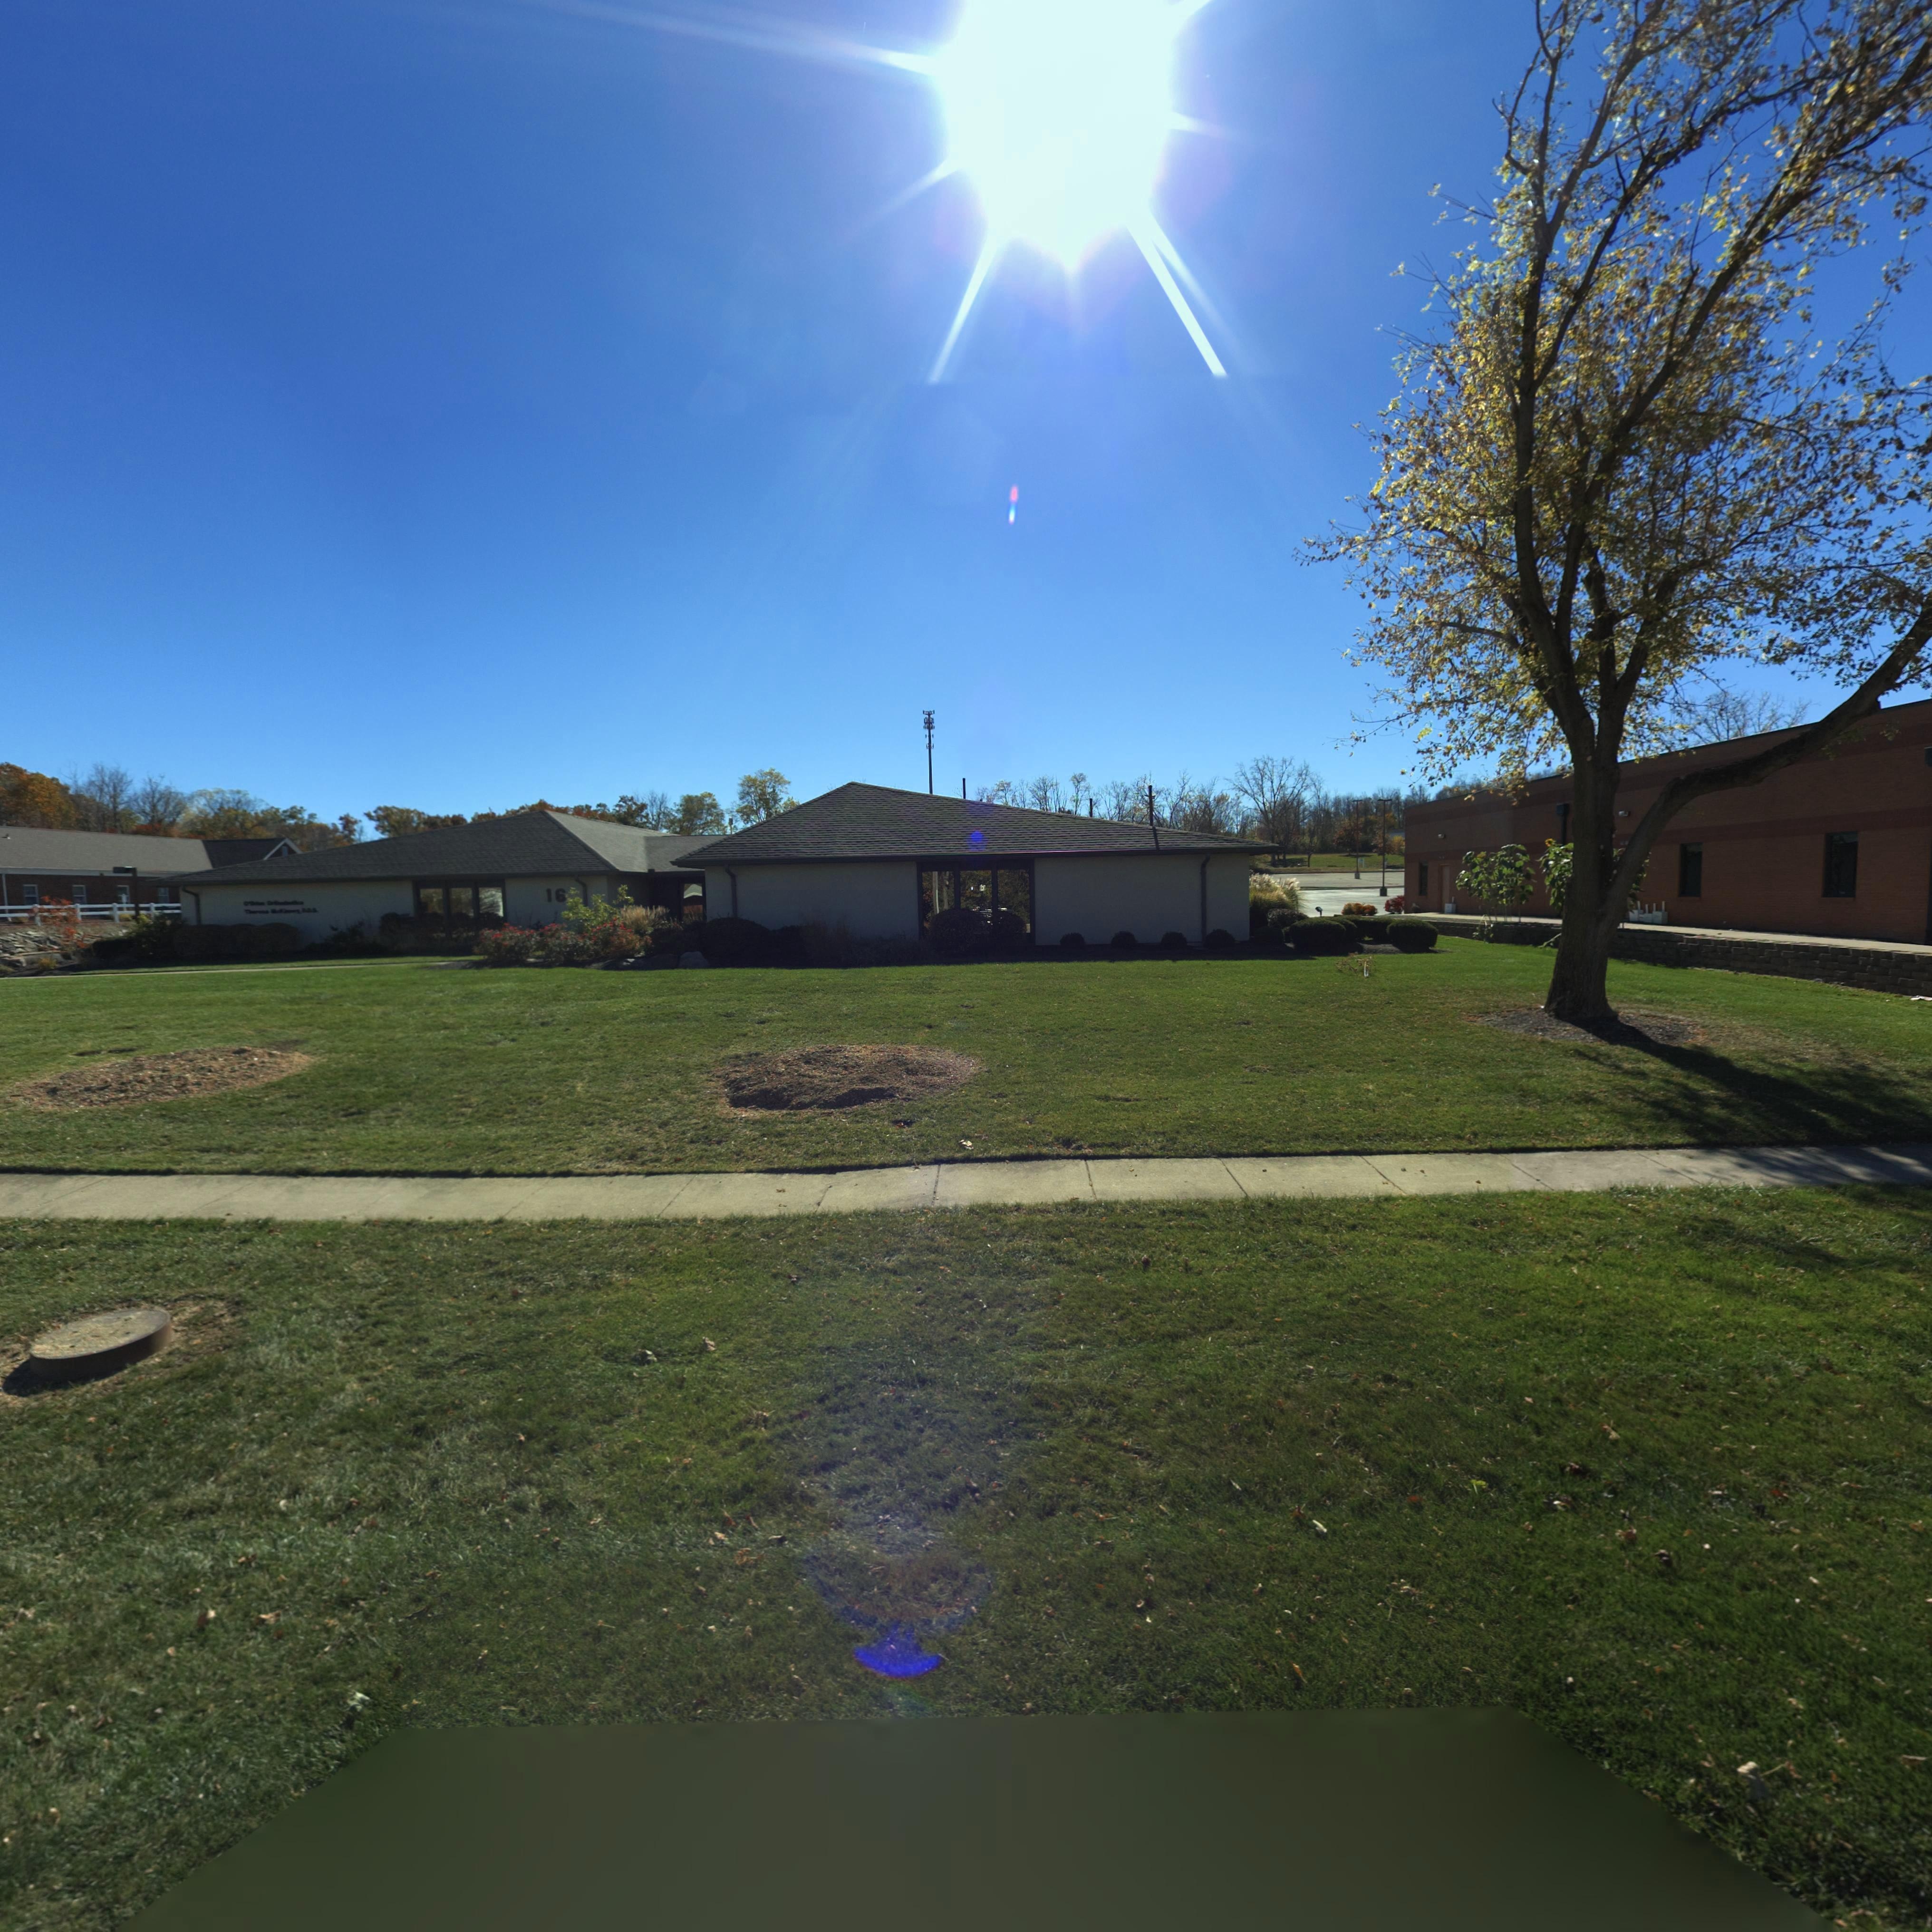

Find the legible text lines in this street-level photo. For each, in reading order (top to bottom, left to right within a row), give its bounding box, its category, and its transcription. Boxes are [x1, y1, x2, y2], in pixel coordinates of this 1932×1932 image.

[545, 887, 568, 904] StreetNumber: 16